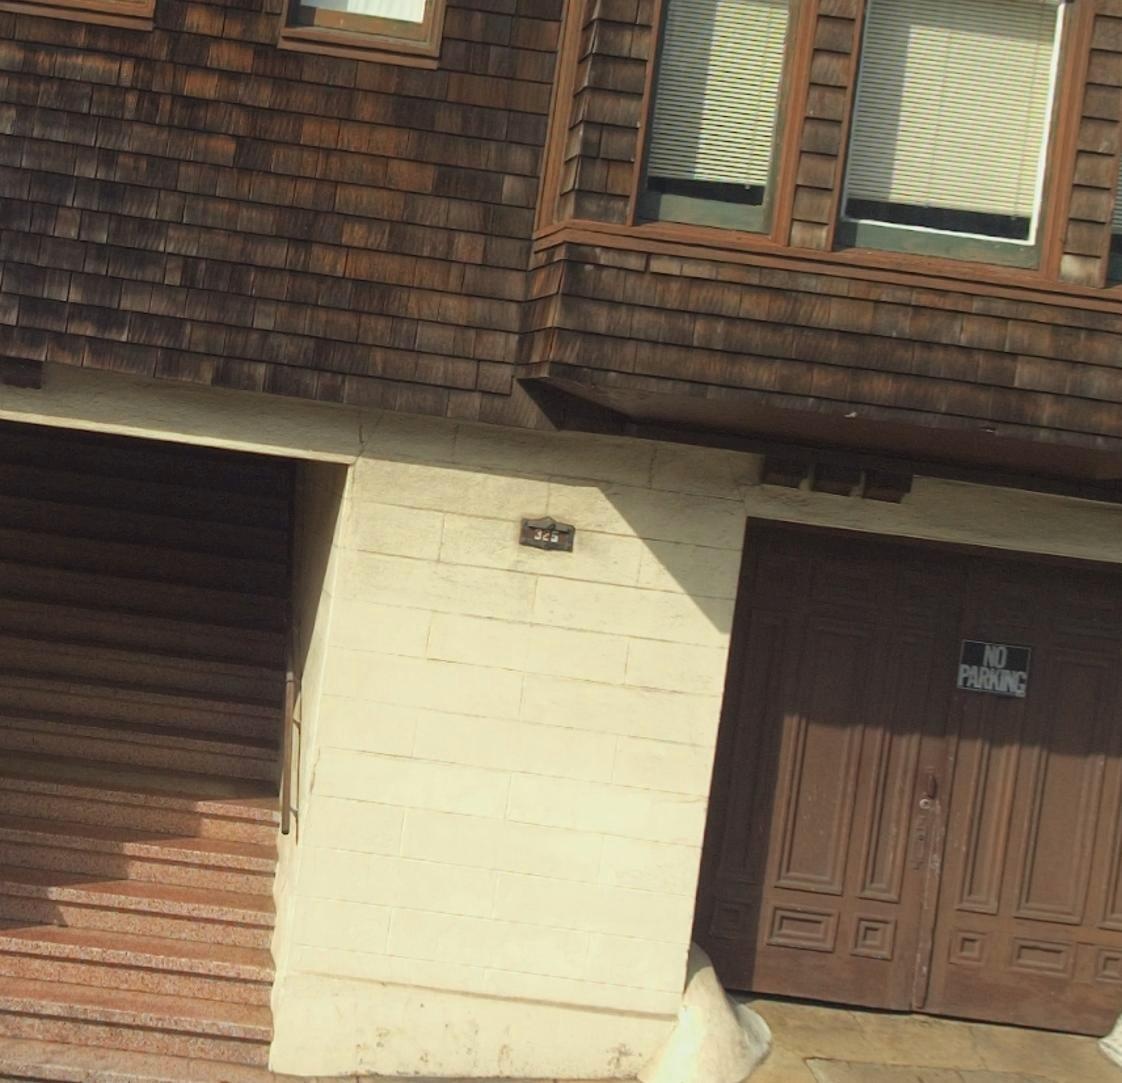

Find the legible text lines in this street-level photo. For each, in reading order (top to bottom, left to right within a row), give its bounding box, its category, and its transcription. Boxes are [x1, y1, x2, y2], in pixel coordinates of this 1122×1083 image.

[531, 526, 562, 545] StreetNumber: 325
[979, 640, 1011, 671] None: NO
[953, 660, 1031, 702] None: PARKING